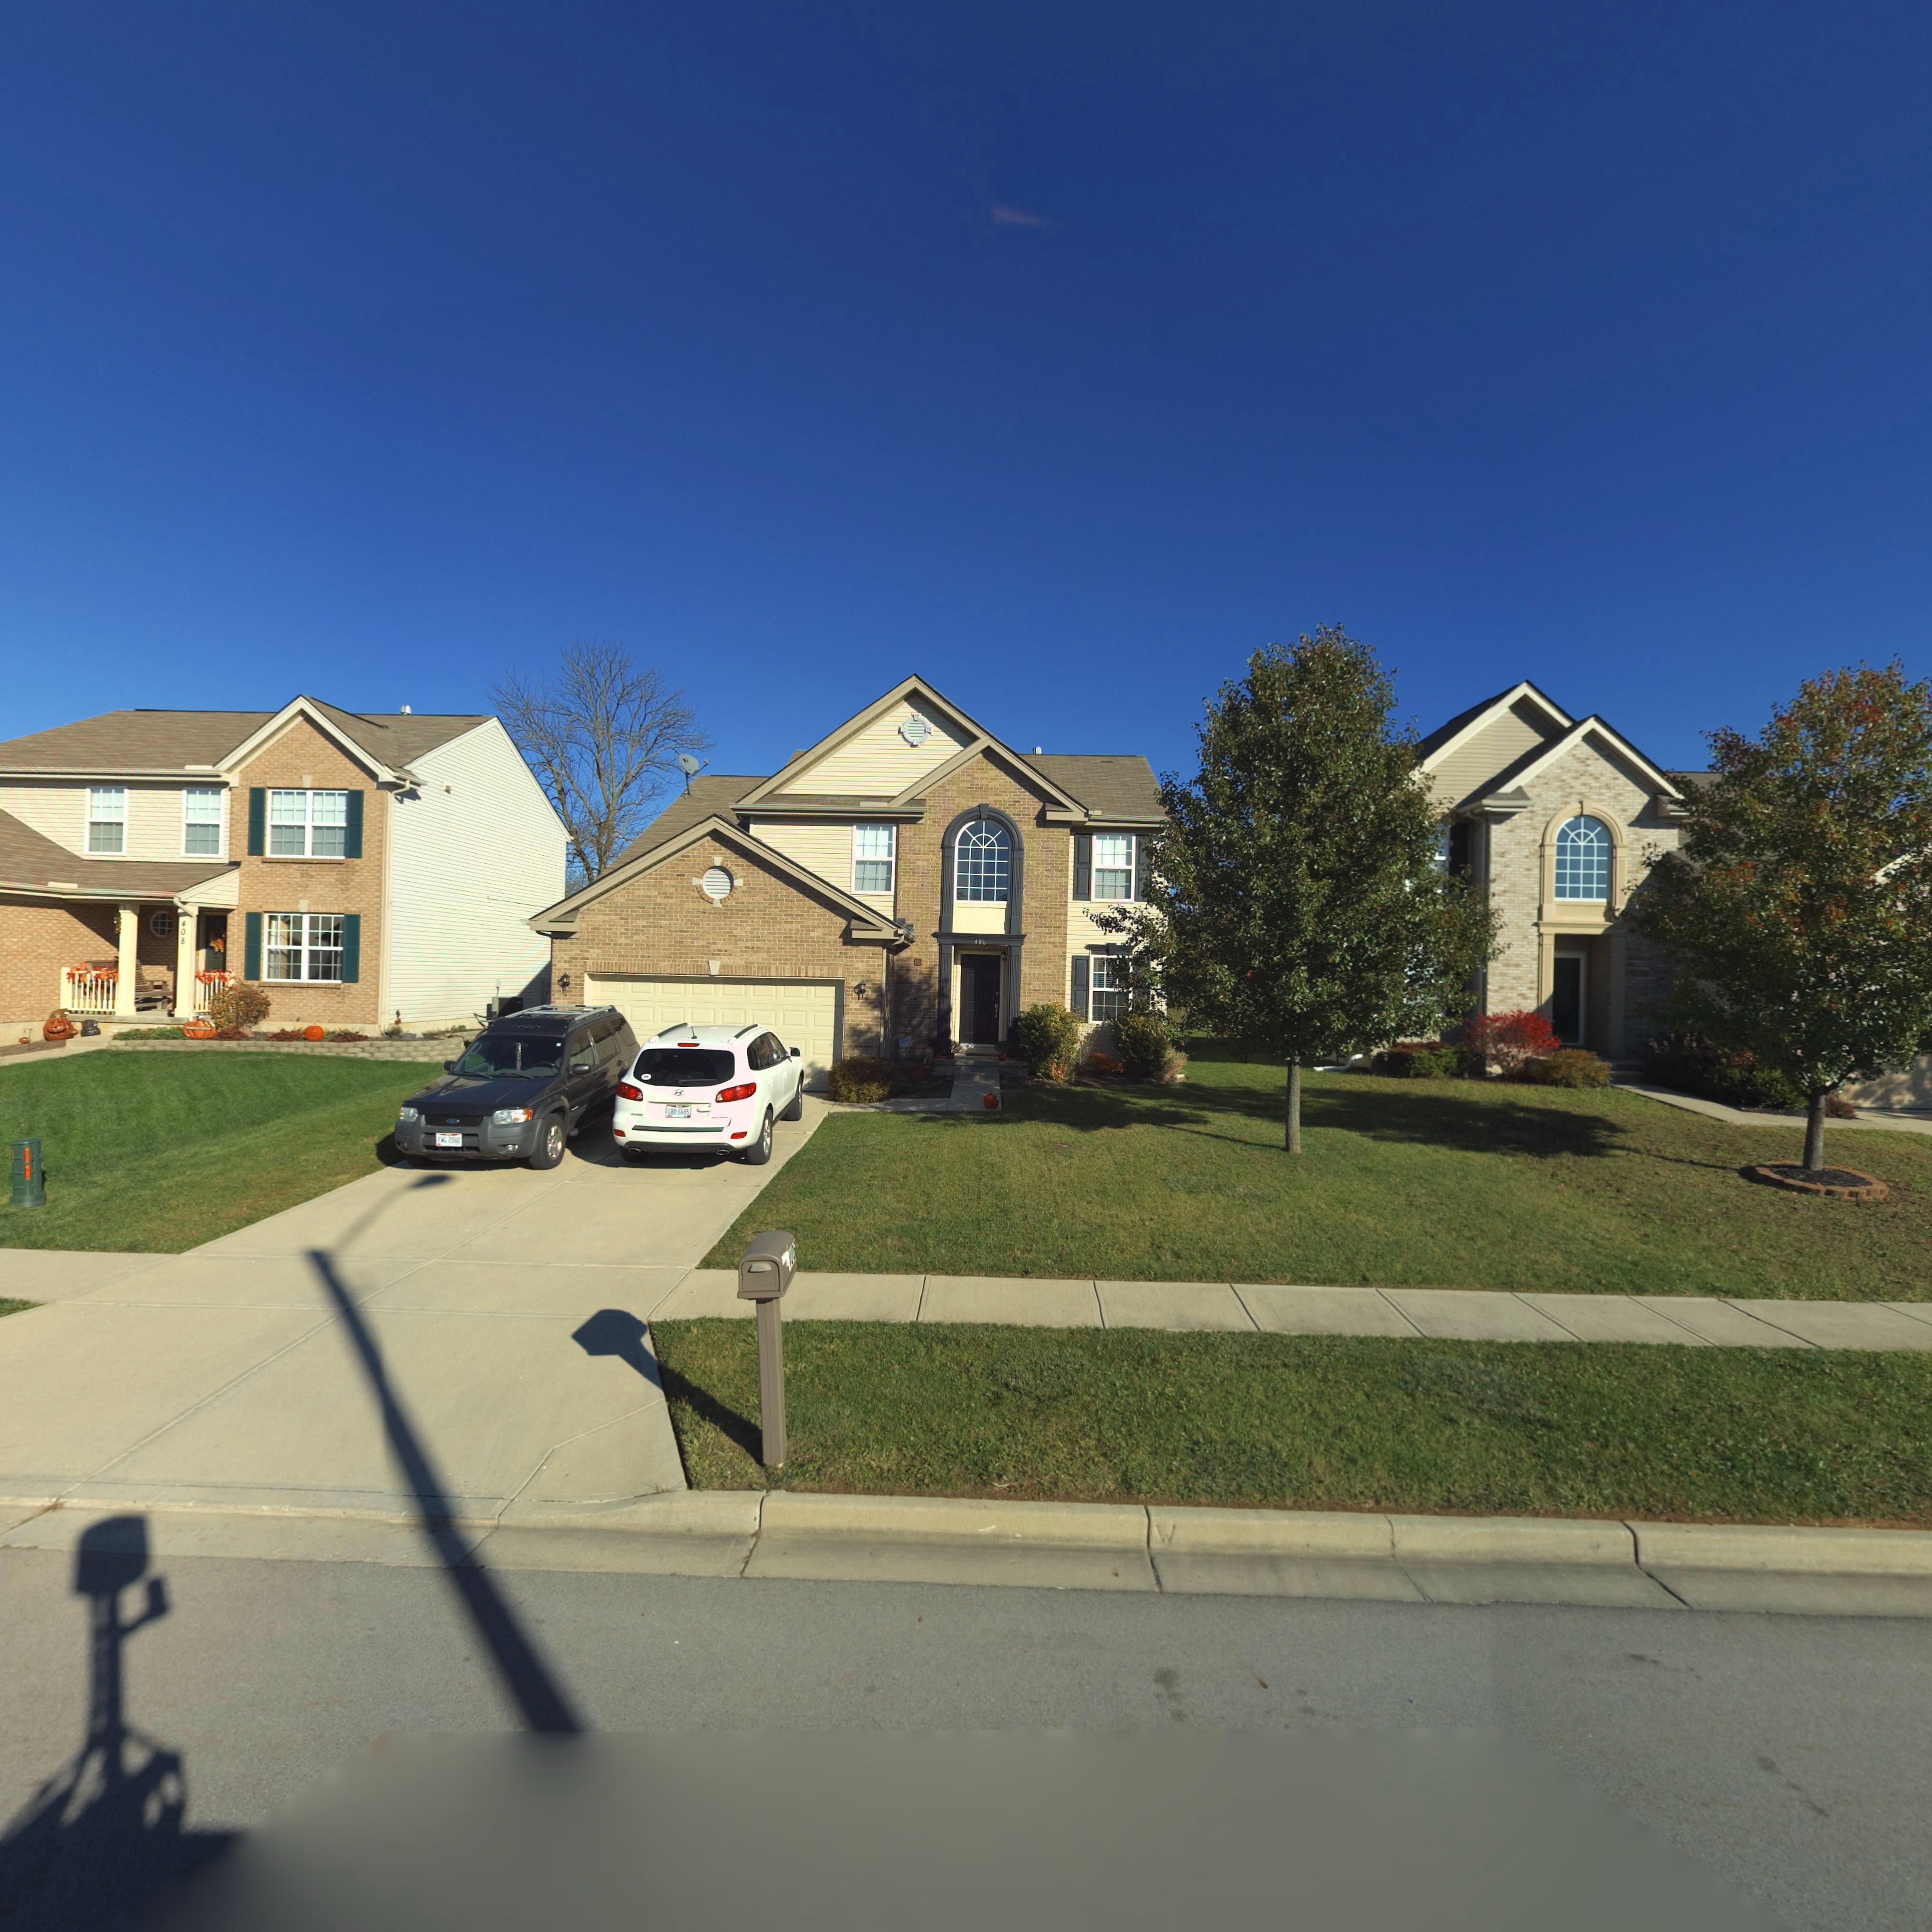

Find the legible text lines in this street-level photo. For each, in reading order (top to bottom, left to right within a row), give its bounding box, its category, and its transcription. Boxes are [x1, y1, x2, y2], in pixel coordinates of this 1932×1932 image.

[180, 919, 186, 945] StreetNumber: 408
[974, 938, 986, 946] StreetNumber: 406
[787, 1237, 797, 1270] StreetNumber: *06